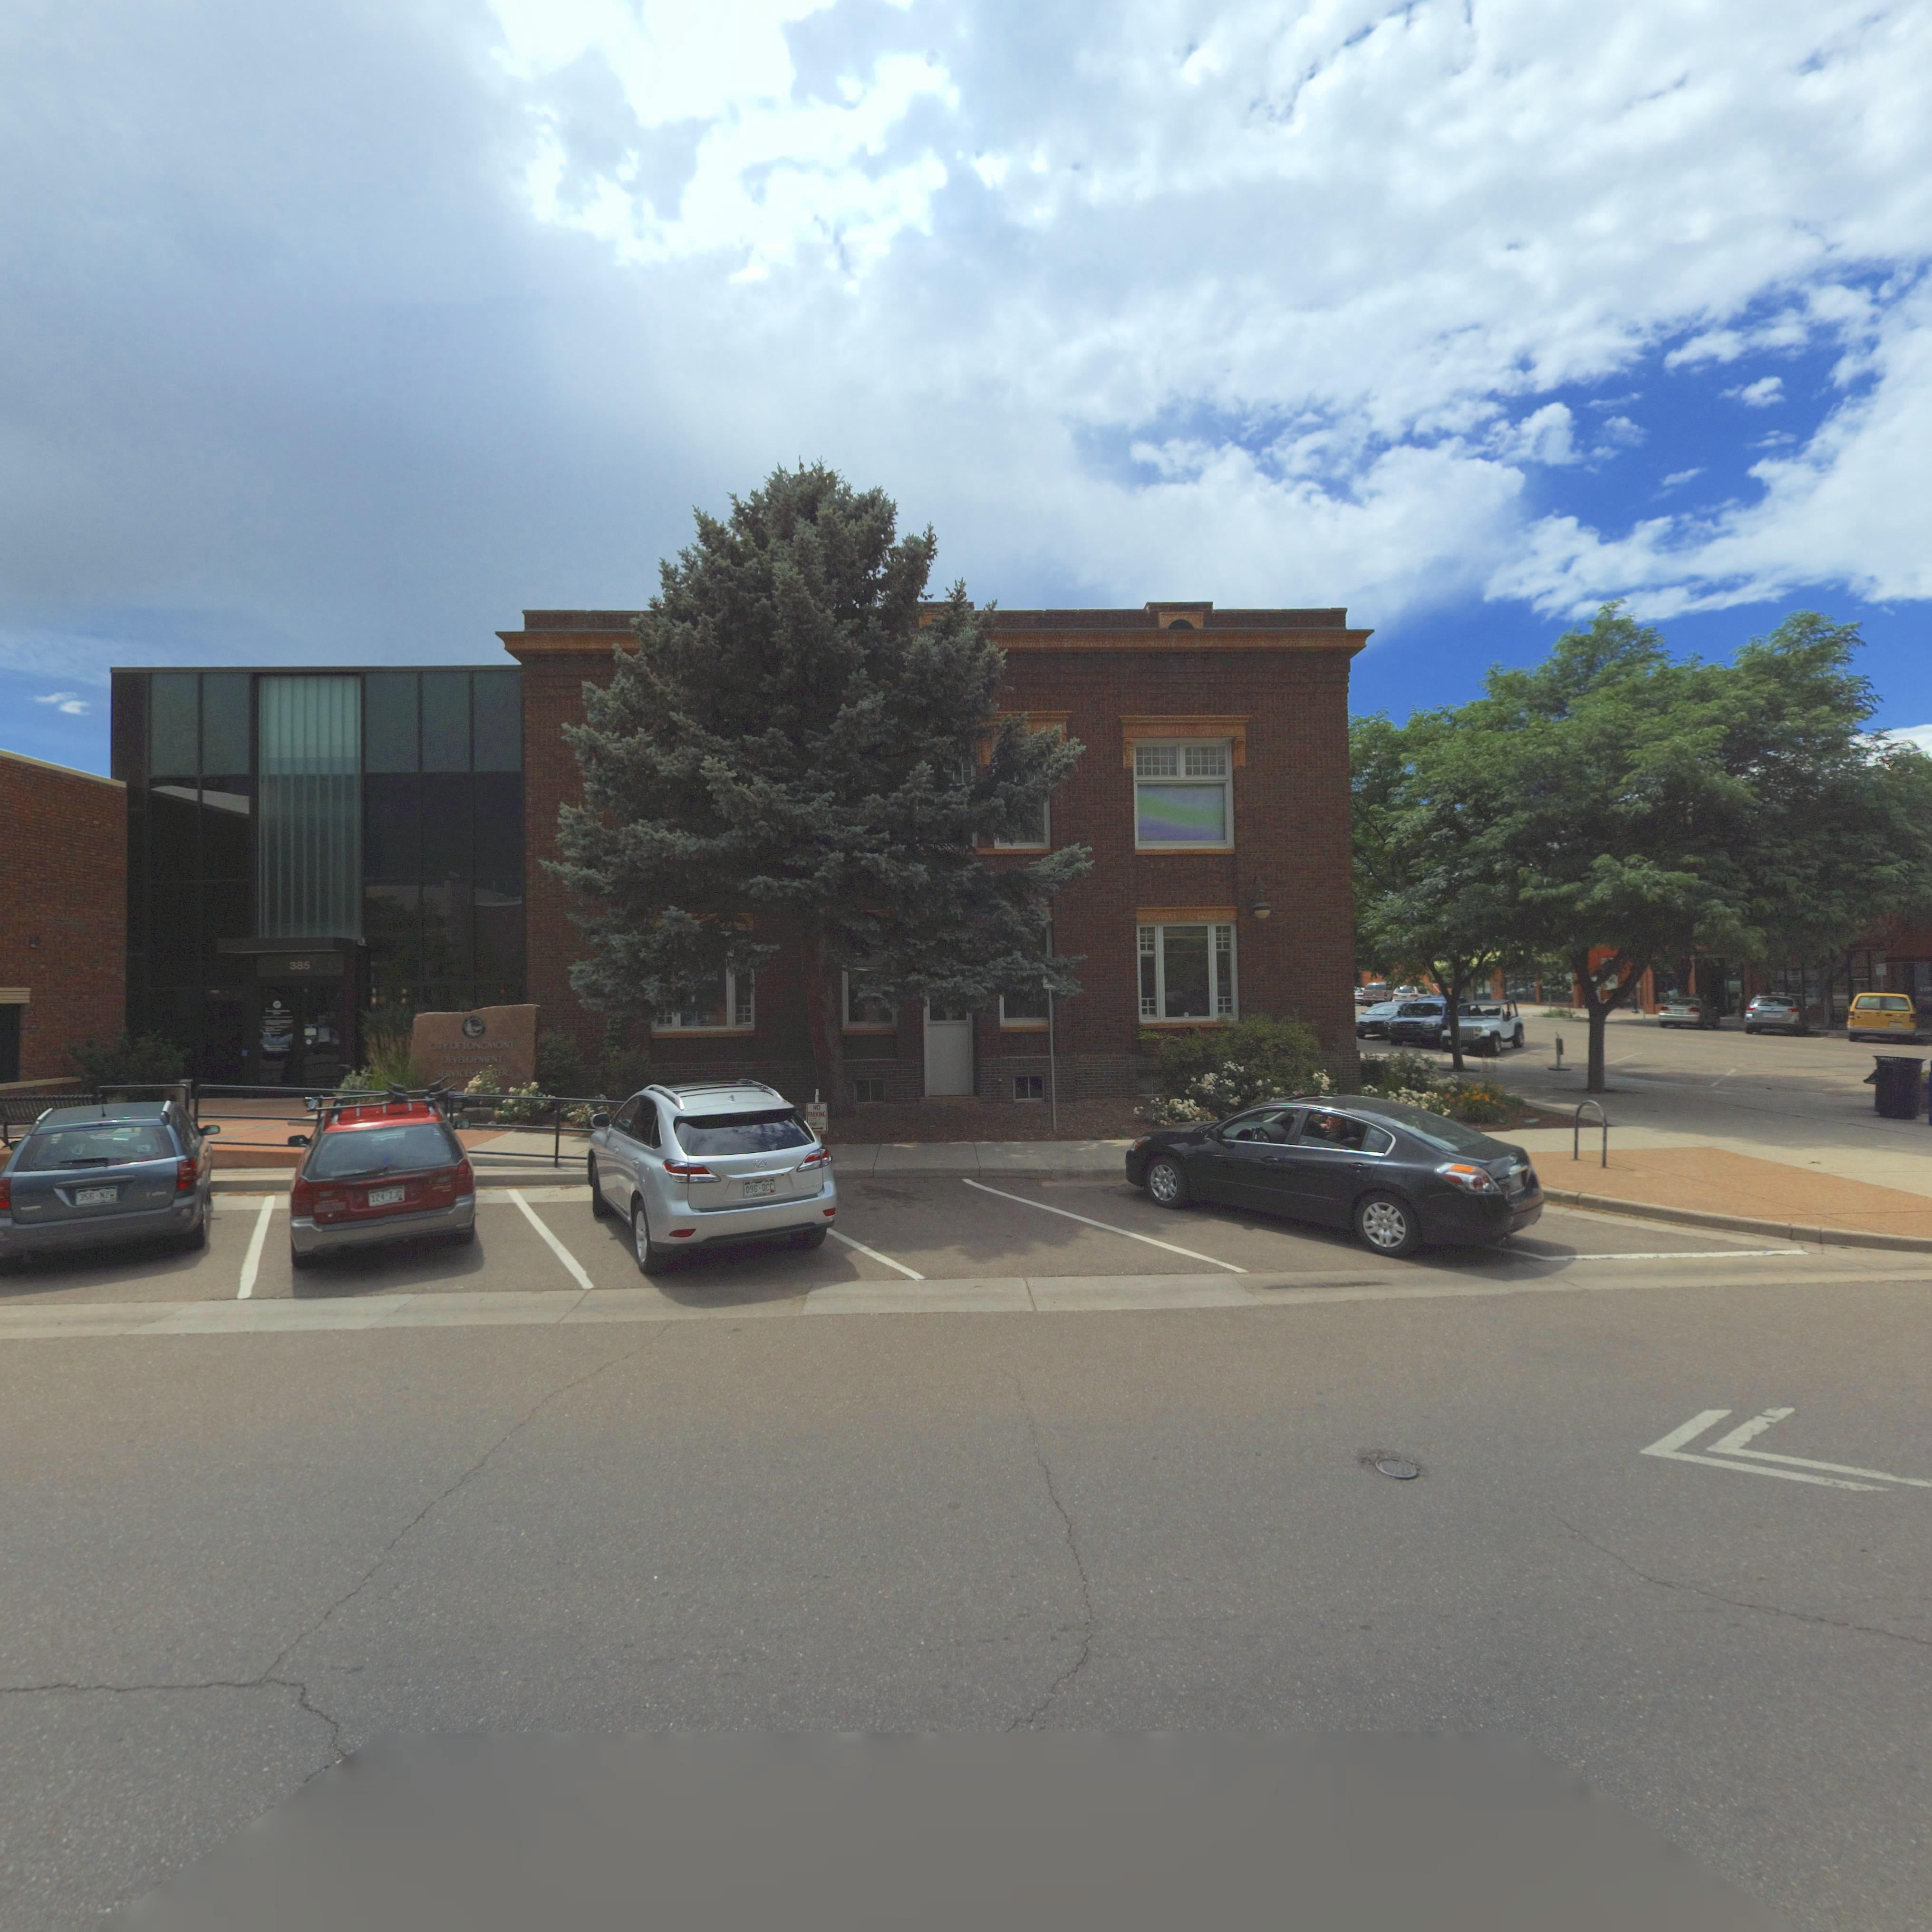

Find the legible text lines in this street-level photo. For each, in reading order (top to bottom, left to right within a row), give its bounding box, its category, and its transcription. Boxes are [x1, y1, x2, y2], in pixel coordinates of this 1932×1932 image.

[428, 1041, 515, 1050] BusinessName: CITY OF LONGMONT
[440, 1055, 503, 1063] BusinessName: DEVELOPMENT
[436, 1068, 509, 1078] BusinessName: SERVICES ***TER